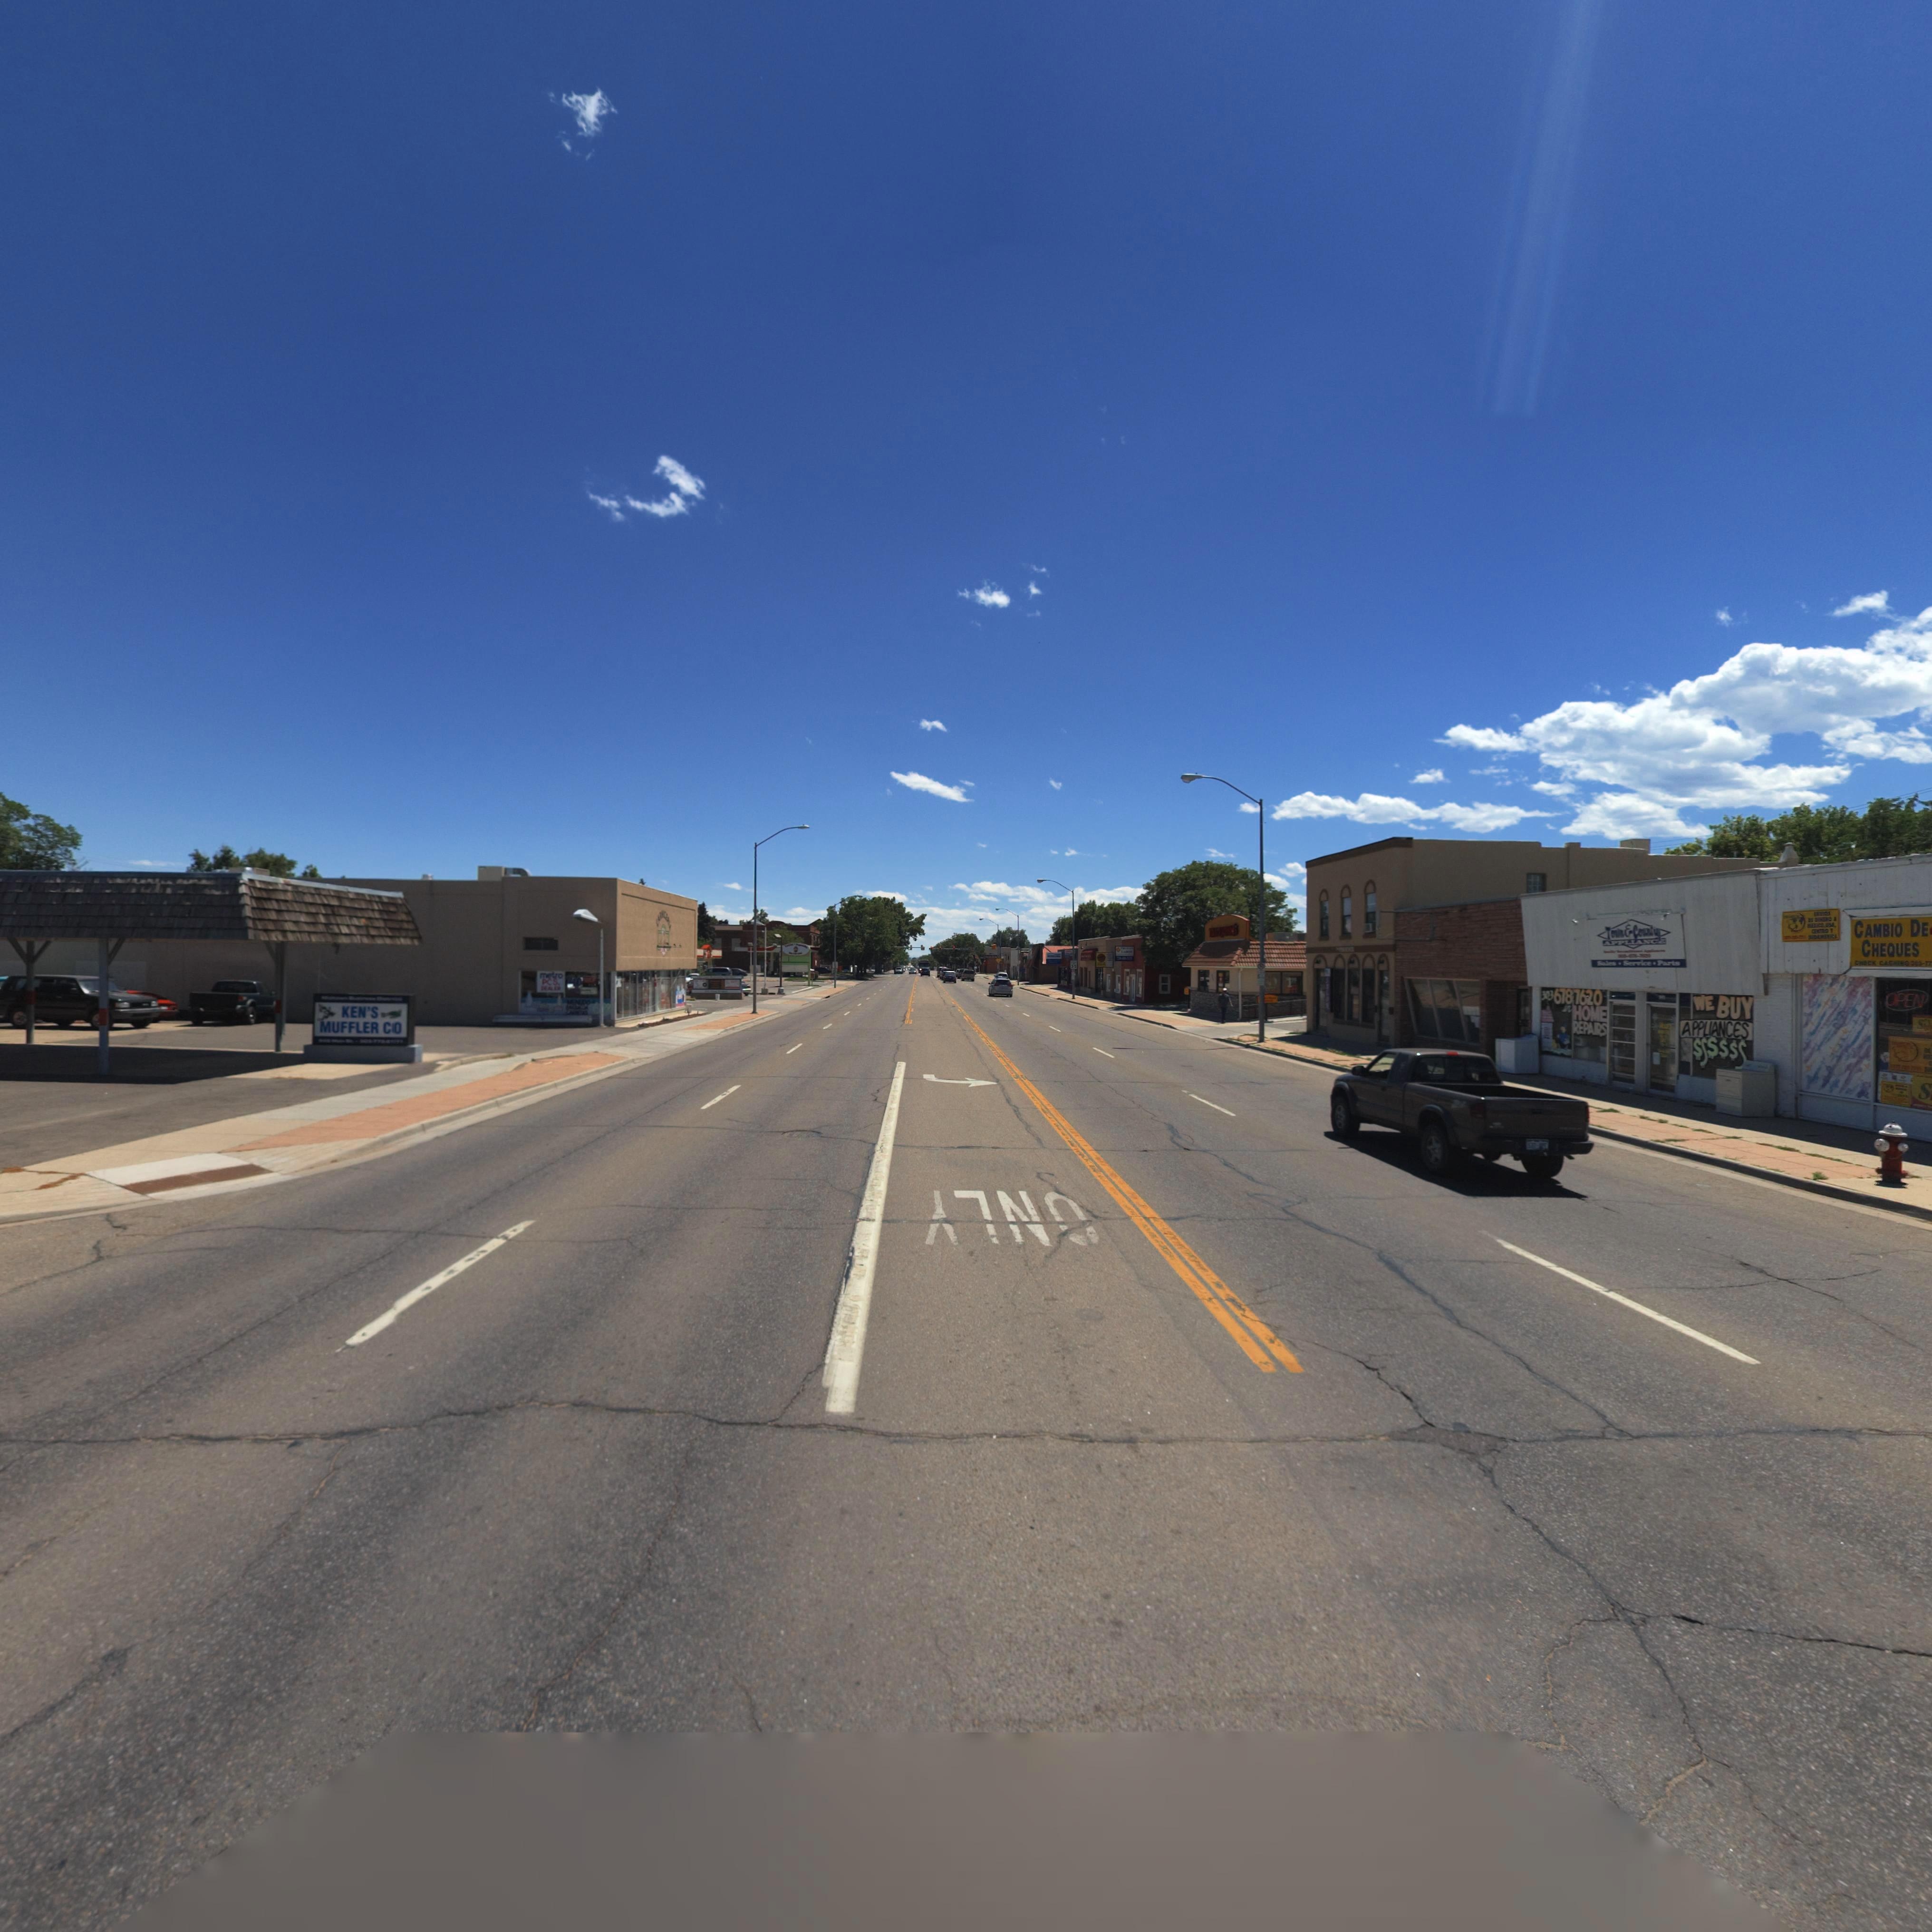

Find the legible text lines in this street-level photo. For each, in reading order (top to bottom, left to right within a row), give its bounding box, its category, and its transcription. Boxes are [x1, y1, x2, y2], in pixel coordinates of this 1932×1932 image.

[1604, 924, 1661, 941] BusinessName: Town & Country
[1603, 938, 1666, 946] BusinessName: APPLIANCE
[341, 1005, 379, 1019] BusinessName: KEN'S
[319, 1020, 402, 1034] BusinessName: MUFFLER C*O